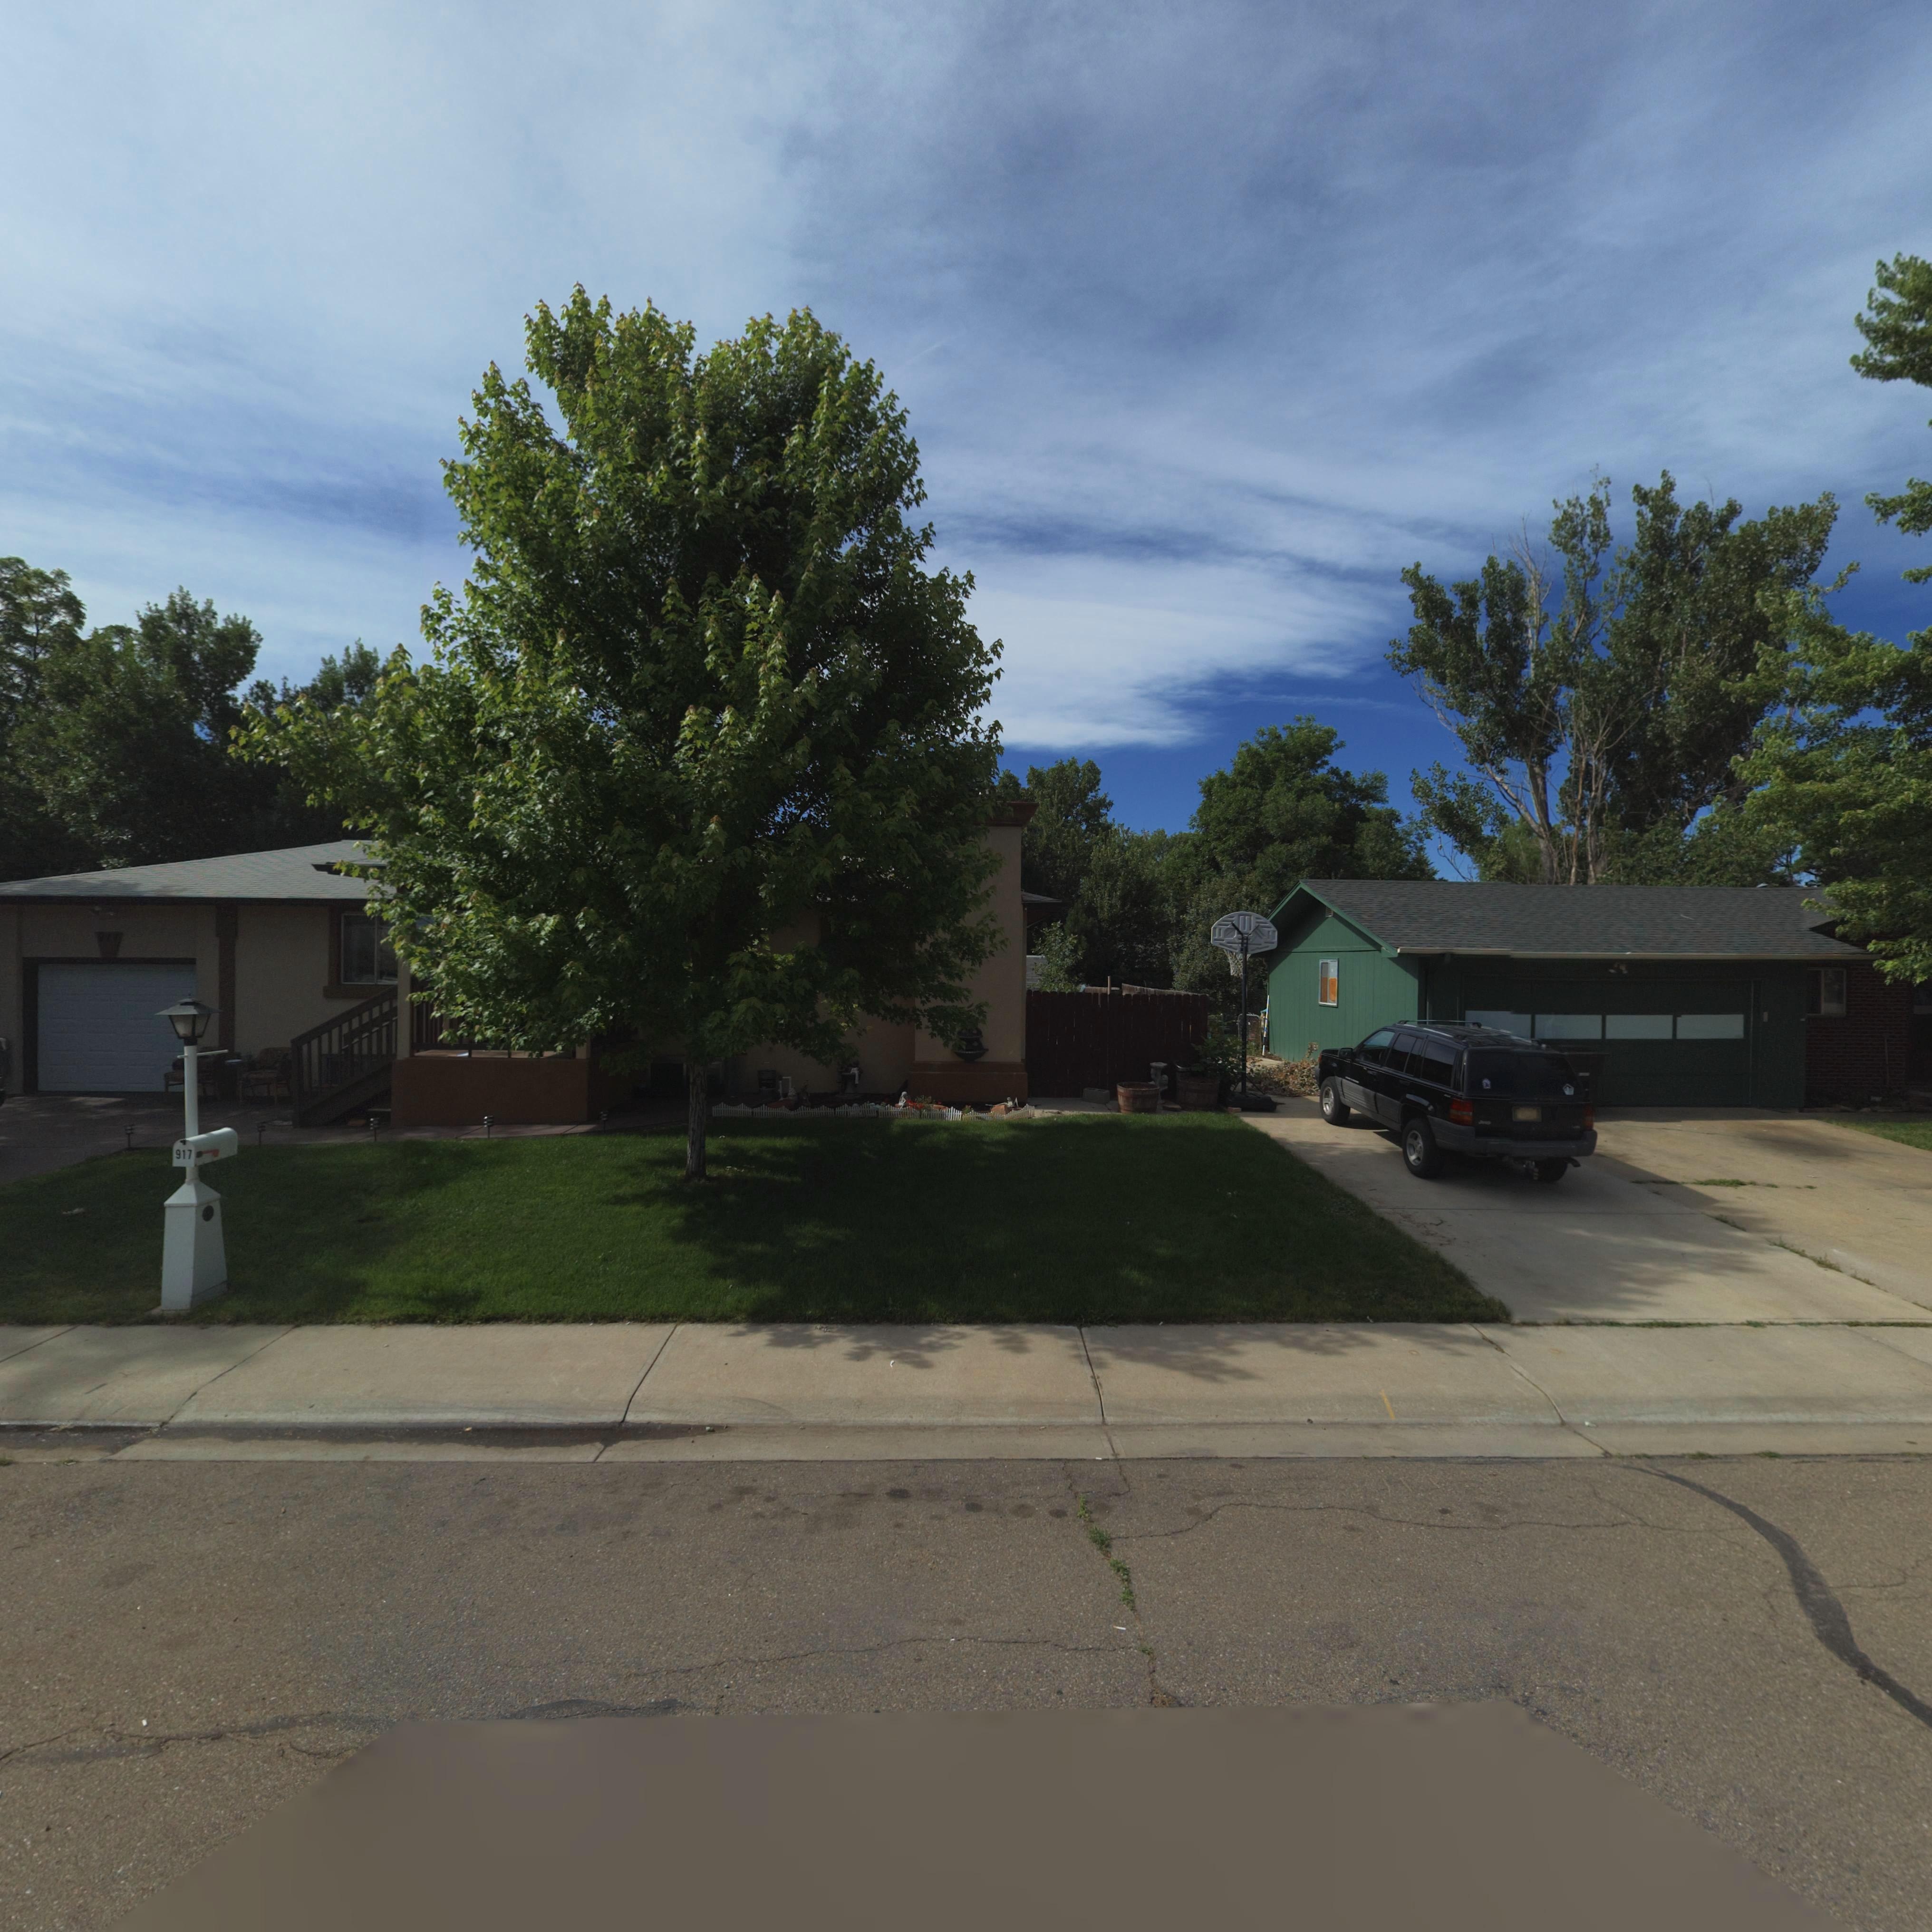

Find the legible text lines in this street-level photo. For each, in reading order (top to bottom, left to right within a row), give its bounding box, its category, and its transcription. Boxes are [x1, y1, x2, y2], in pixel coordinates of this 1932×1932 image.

[97, 932, 118, 943] StreetNumber: 917
[175, 1149, 192, 1159] StreetNumber: 917